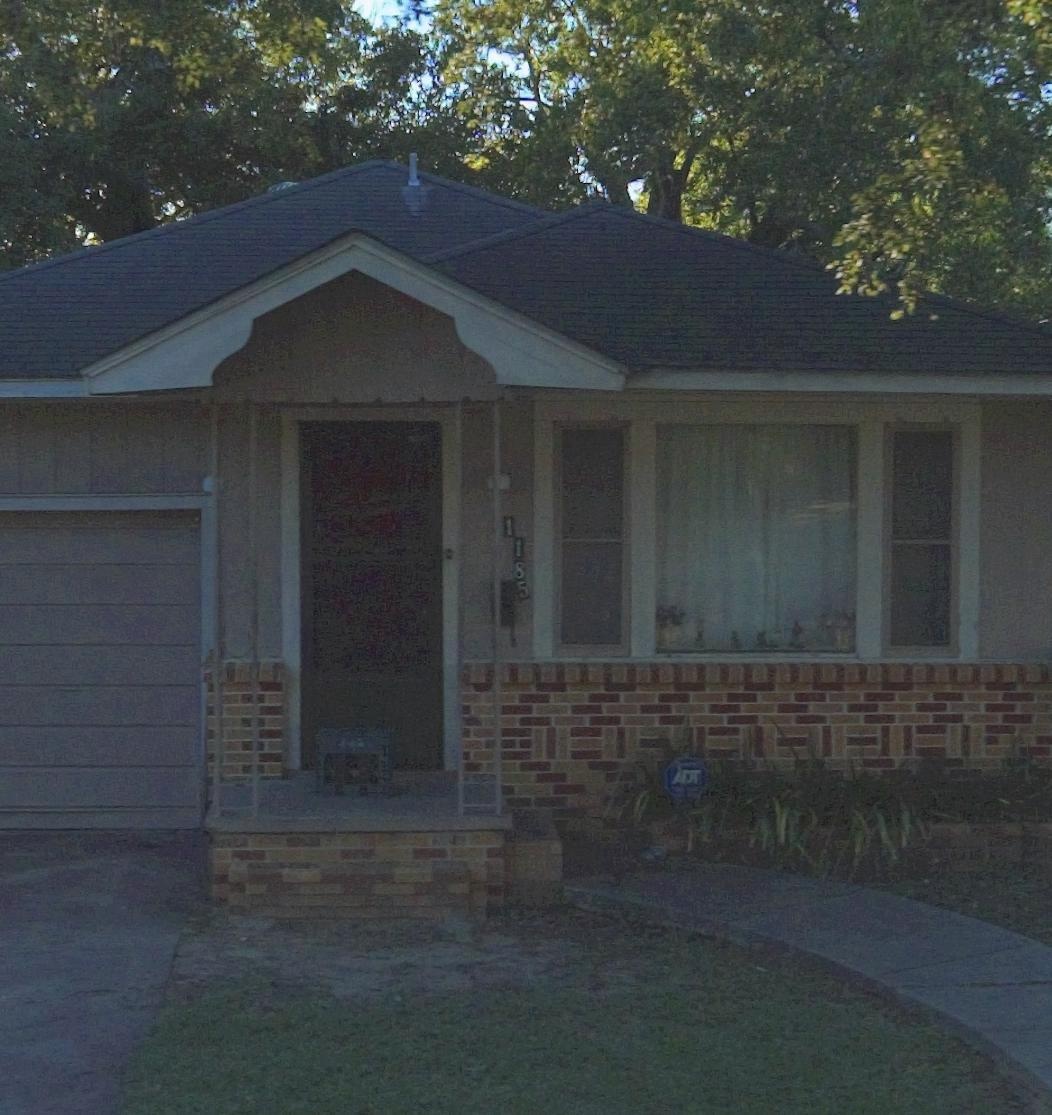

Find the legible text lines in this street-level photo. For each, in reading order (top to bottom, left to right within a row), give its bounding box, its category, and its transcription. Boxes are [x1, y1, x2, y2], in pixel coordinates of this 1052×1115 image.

[501, 516, 533, 601] StreetNumber: 1185
[686, 768, 704, 786] None: T